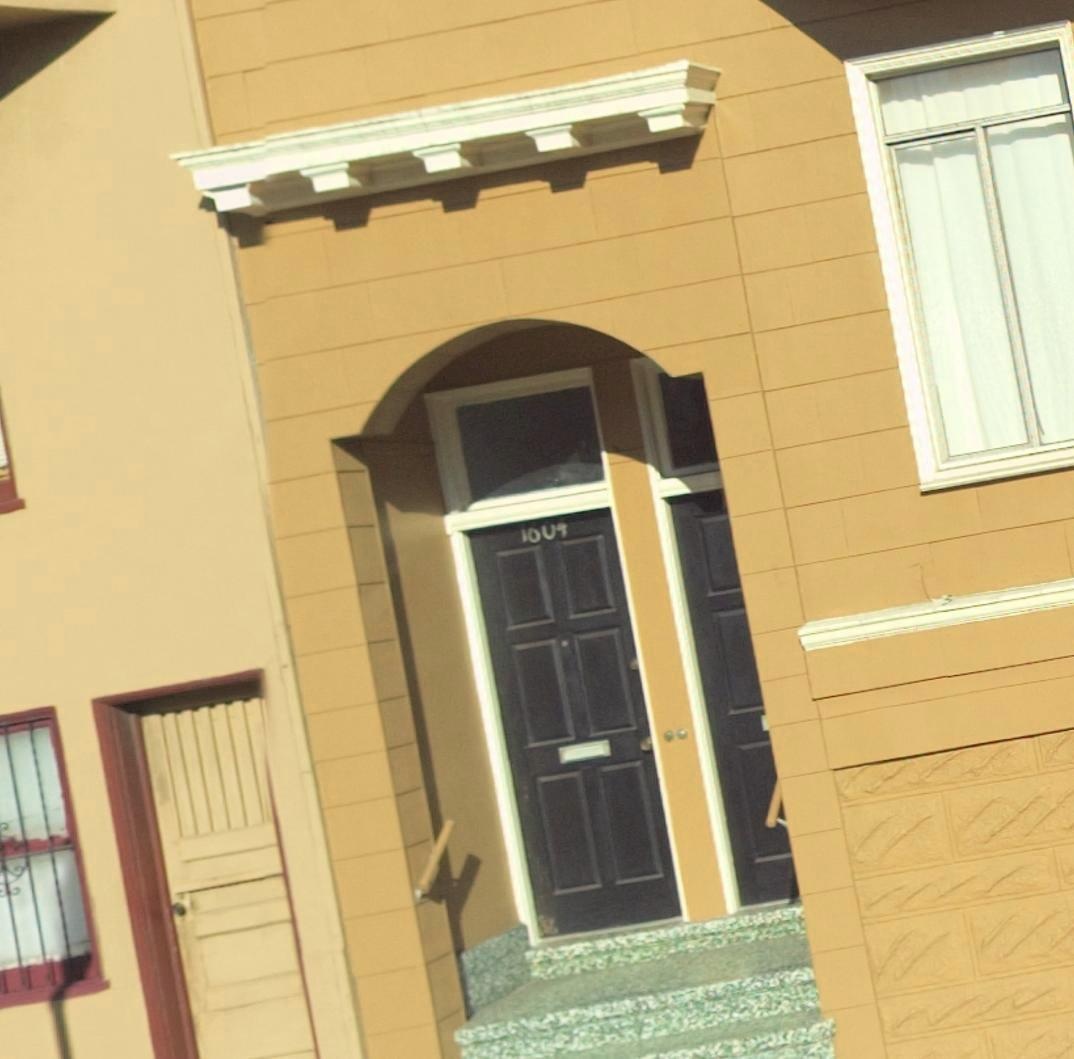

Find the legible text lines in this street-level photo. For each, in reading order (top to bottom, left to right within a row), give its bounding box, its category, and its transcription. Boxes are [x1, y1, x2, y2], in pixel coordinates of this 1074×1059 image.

[518, 515, 570, 546] StreetNumber: 1604